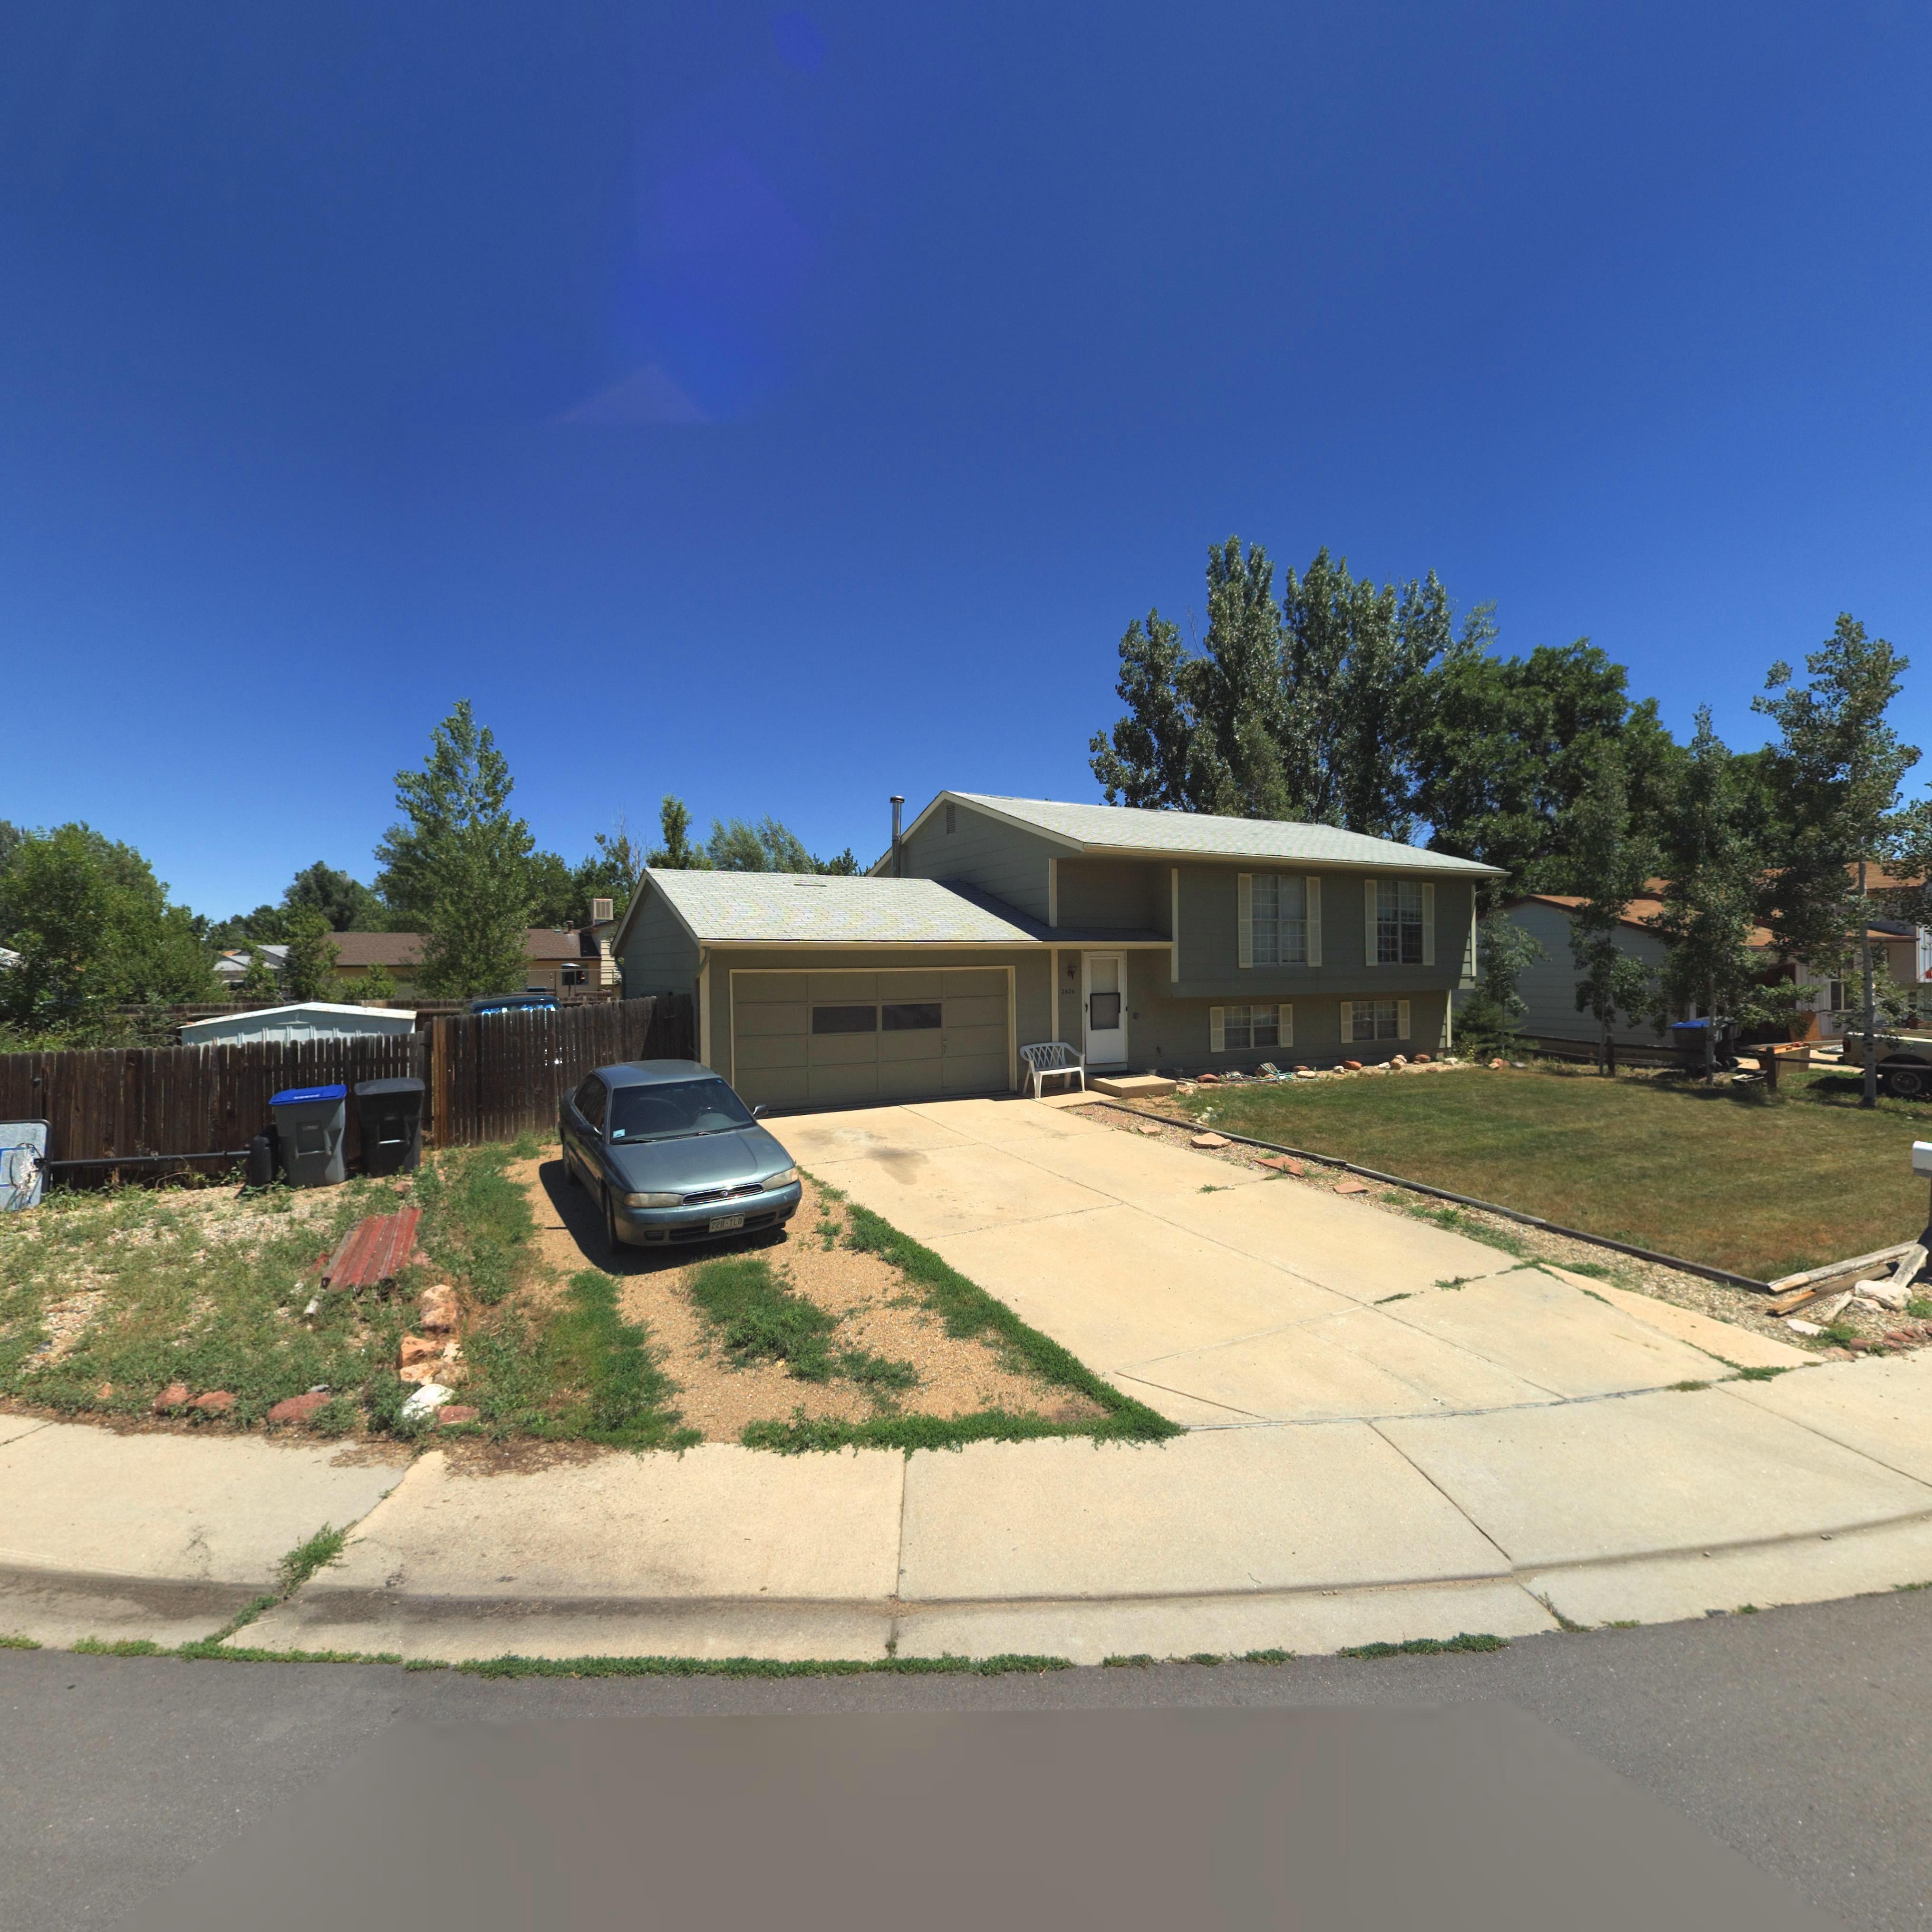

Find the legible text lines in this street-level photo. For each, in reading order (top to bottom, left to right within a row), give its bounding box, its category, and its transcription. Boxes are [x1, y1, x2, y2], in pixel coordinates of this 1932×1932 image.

[1061, 988, 1074, 995] StreetNumber: 2424